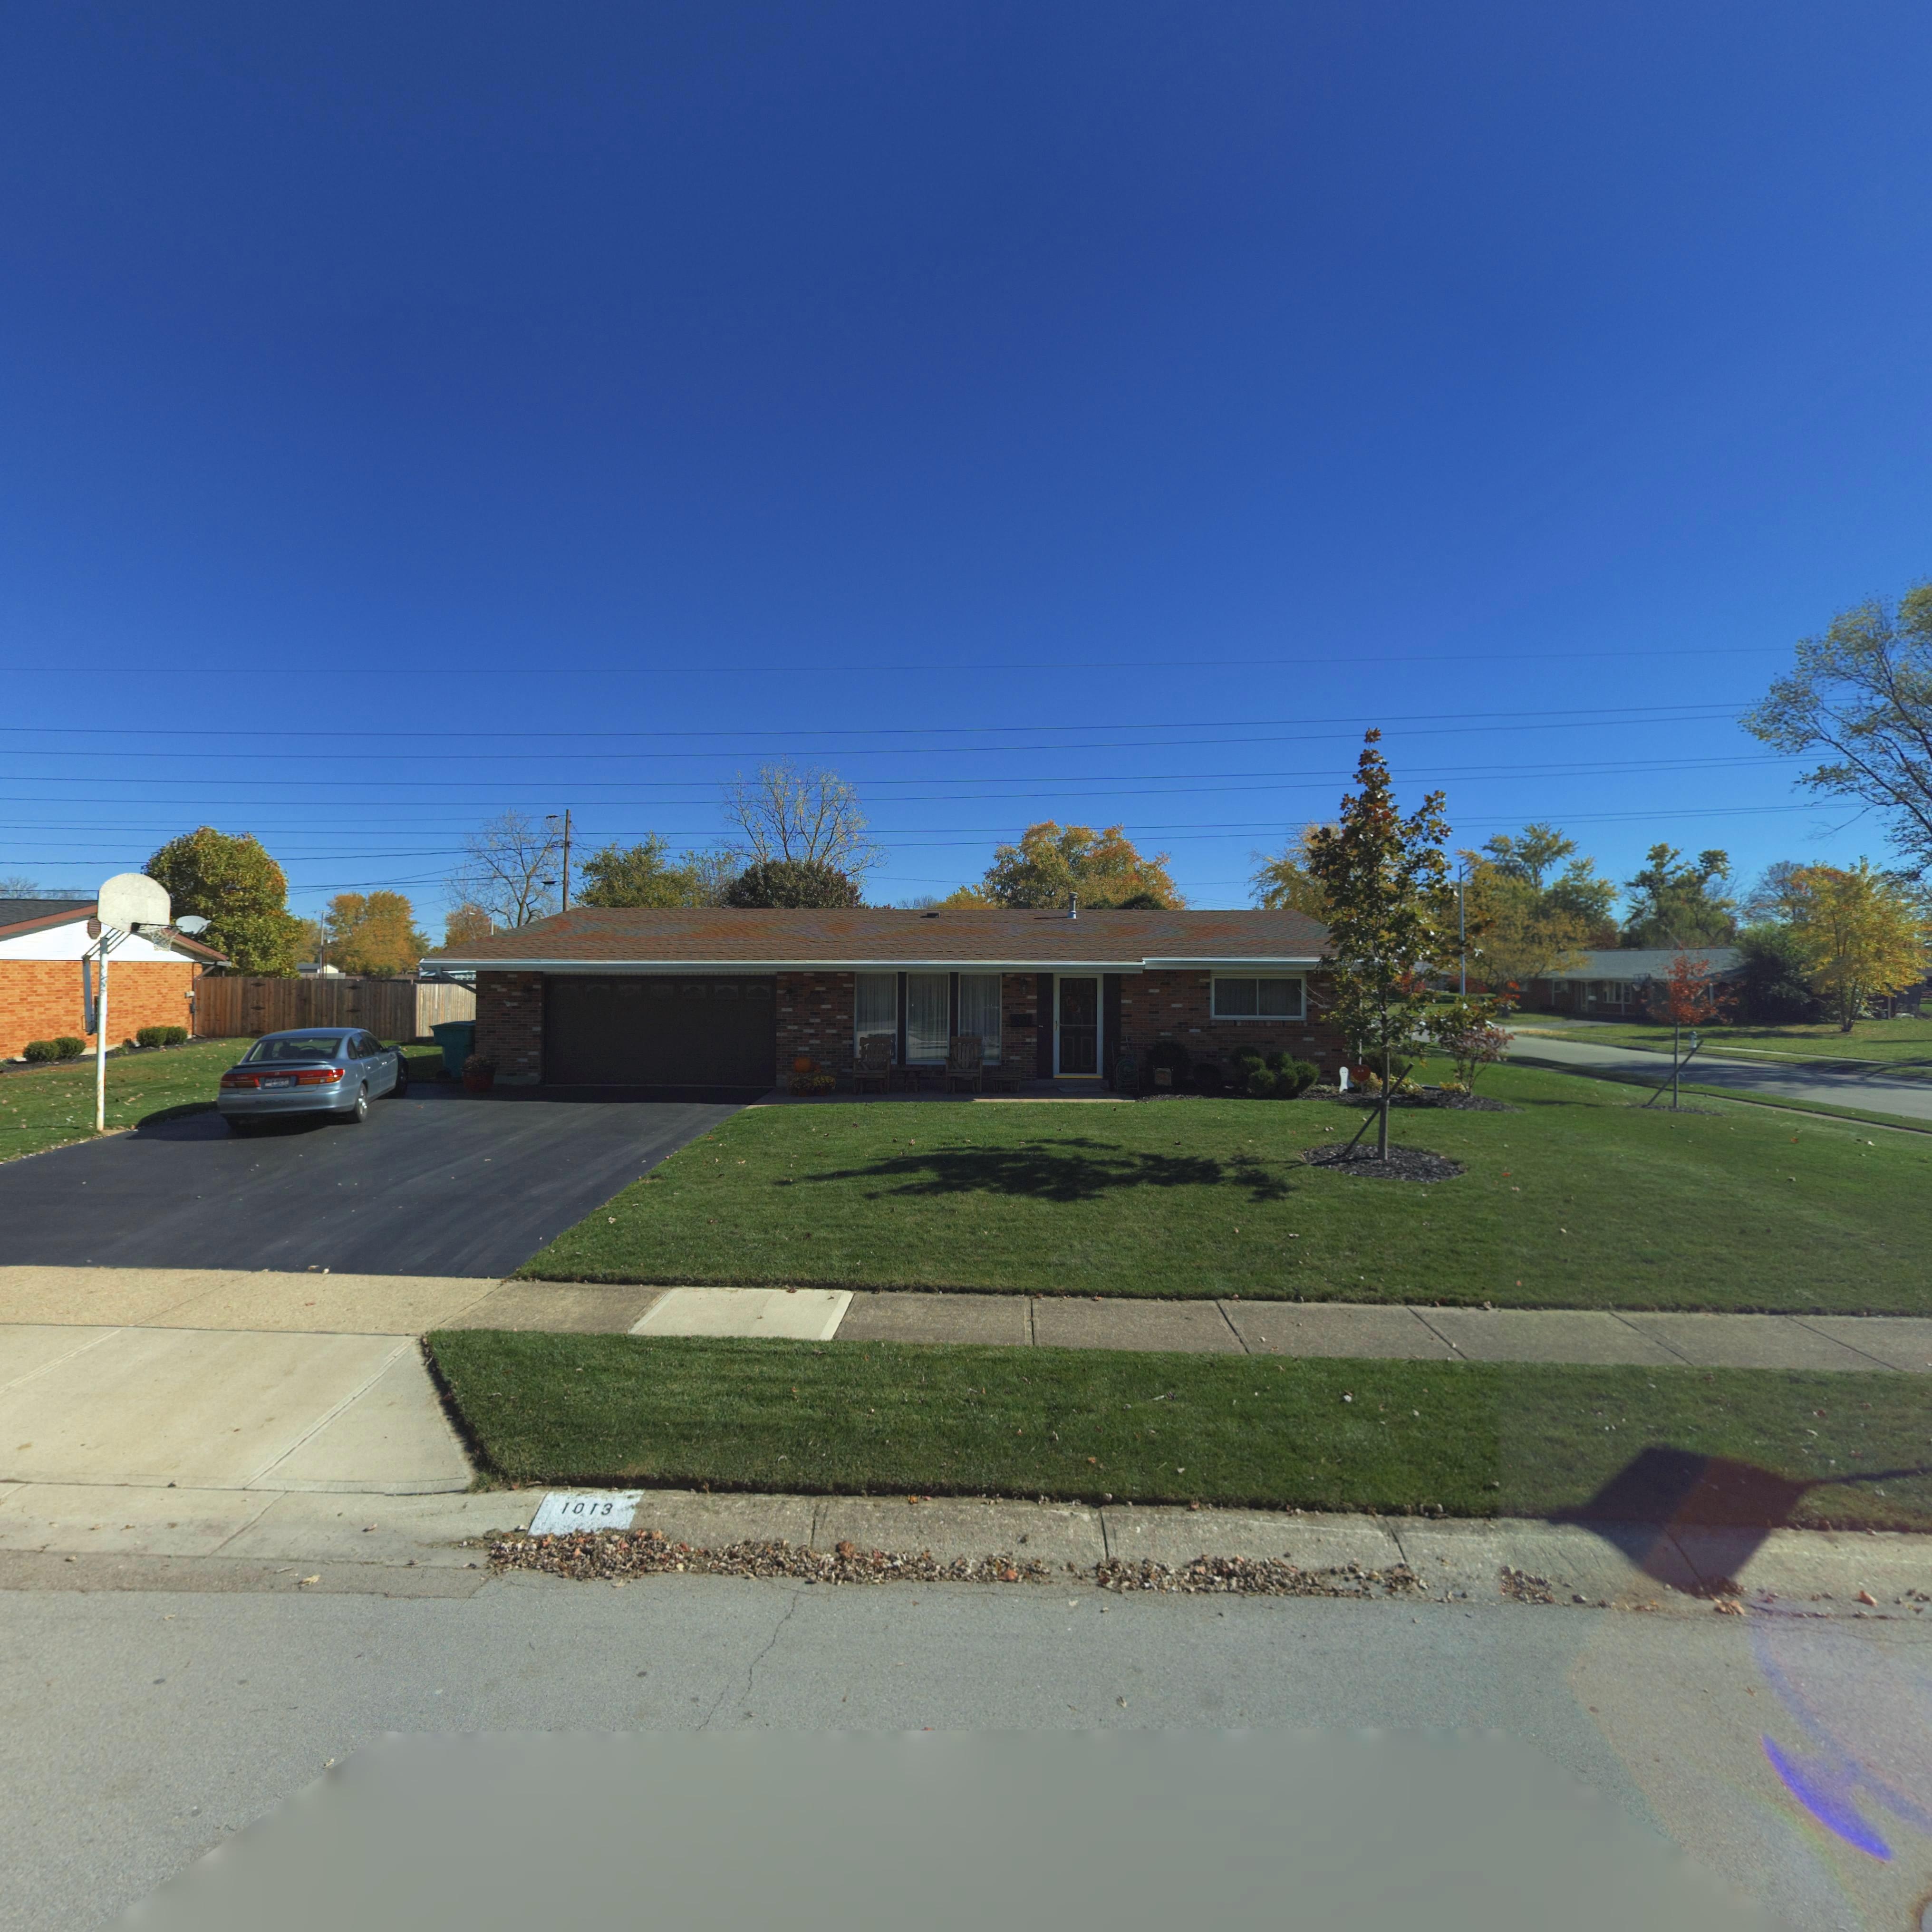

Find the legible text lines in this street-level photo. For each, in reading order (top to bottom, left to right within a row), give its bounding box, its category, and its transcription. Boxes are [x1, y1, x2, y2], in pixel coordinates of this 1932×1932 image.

[560, 1501, 615, 1517] StreetNumber: 1013